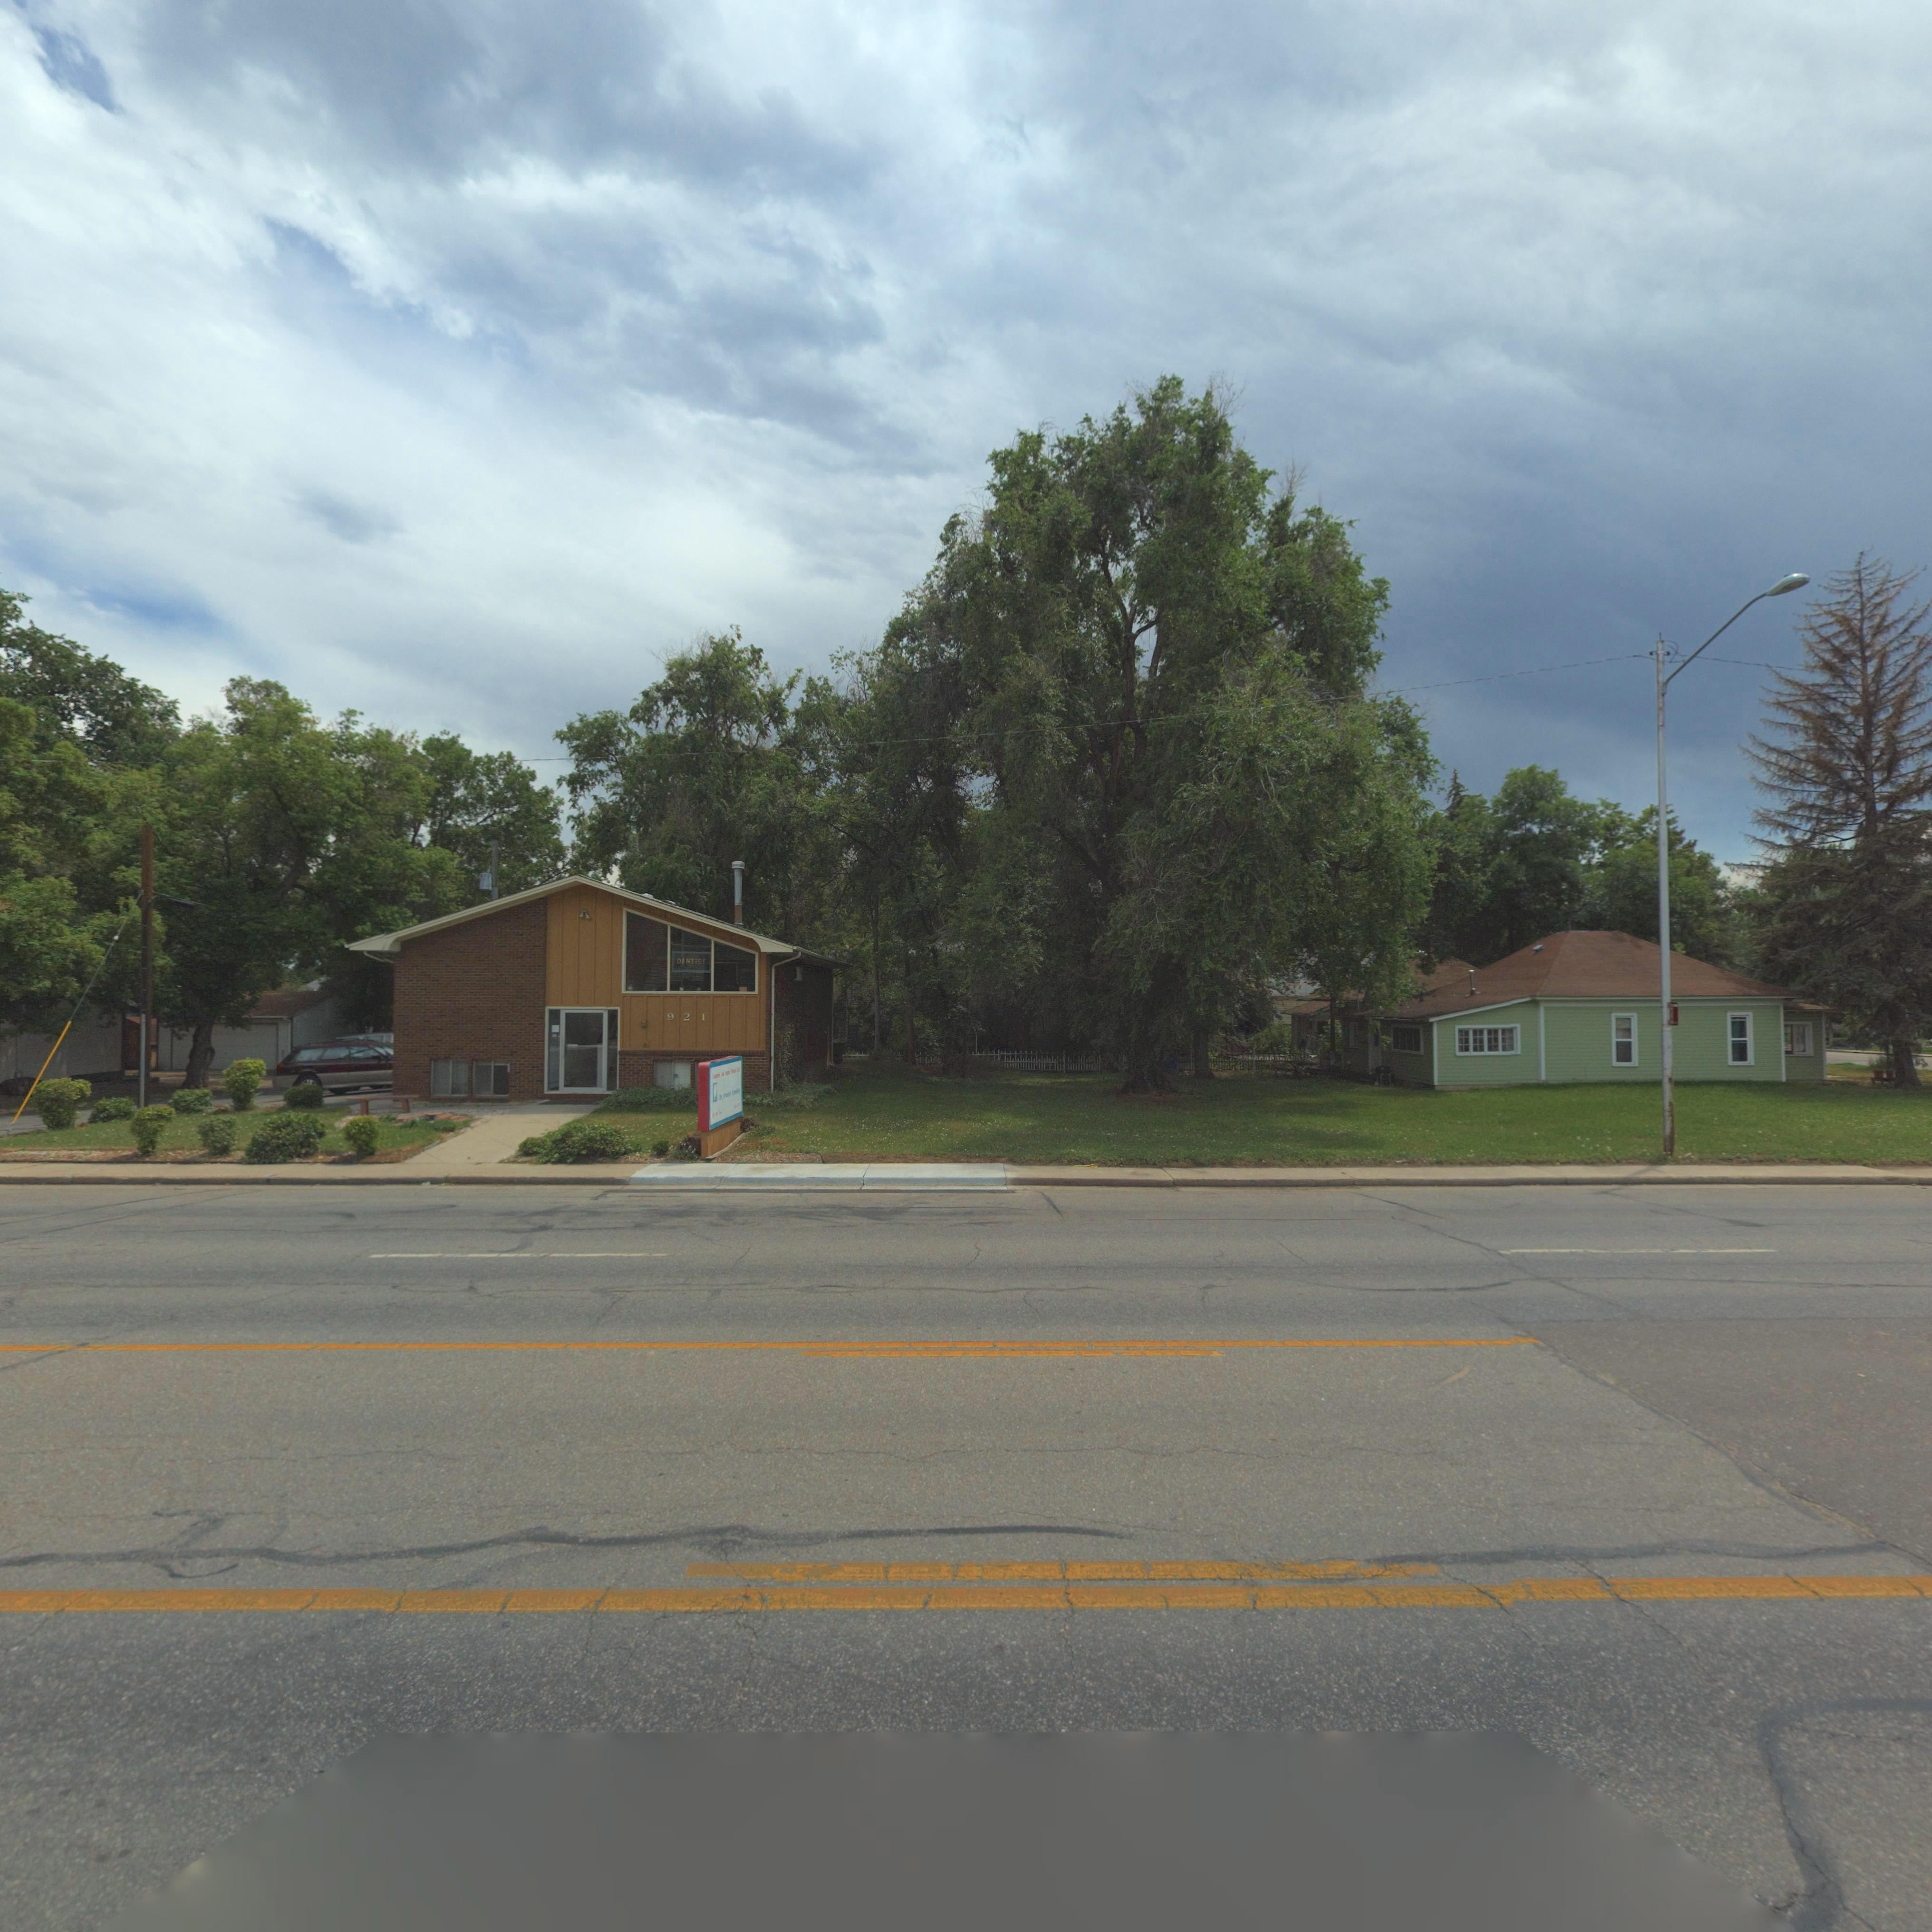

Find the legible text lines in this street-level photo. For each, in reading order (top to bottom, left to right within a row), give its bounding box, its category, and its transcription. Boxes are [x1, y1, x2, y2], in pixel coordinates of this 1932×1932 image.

[667, 1012, 705, 1021] StreetNumber: 921
[711, 1066, 741, 1080] BusinessName: C******* *** F***** D***** C***